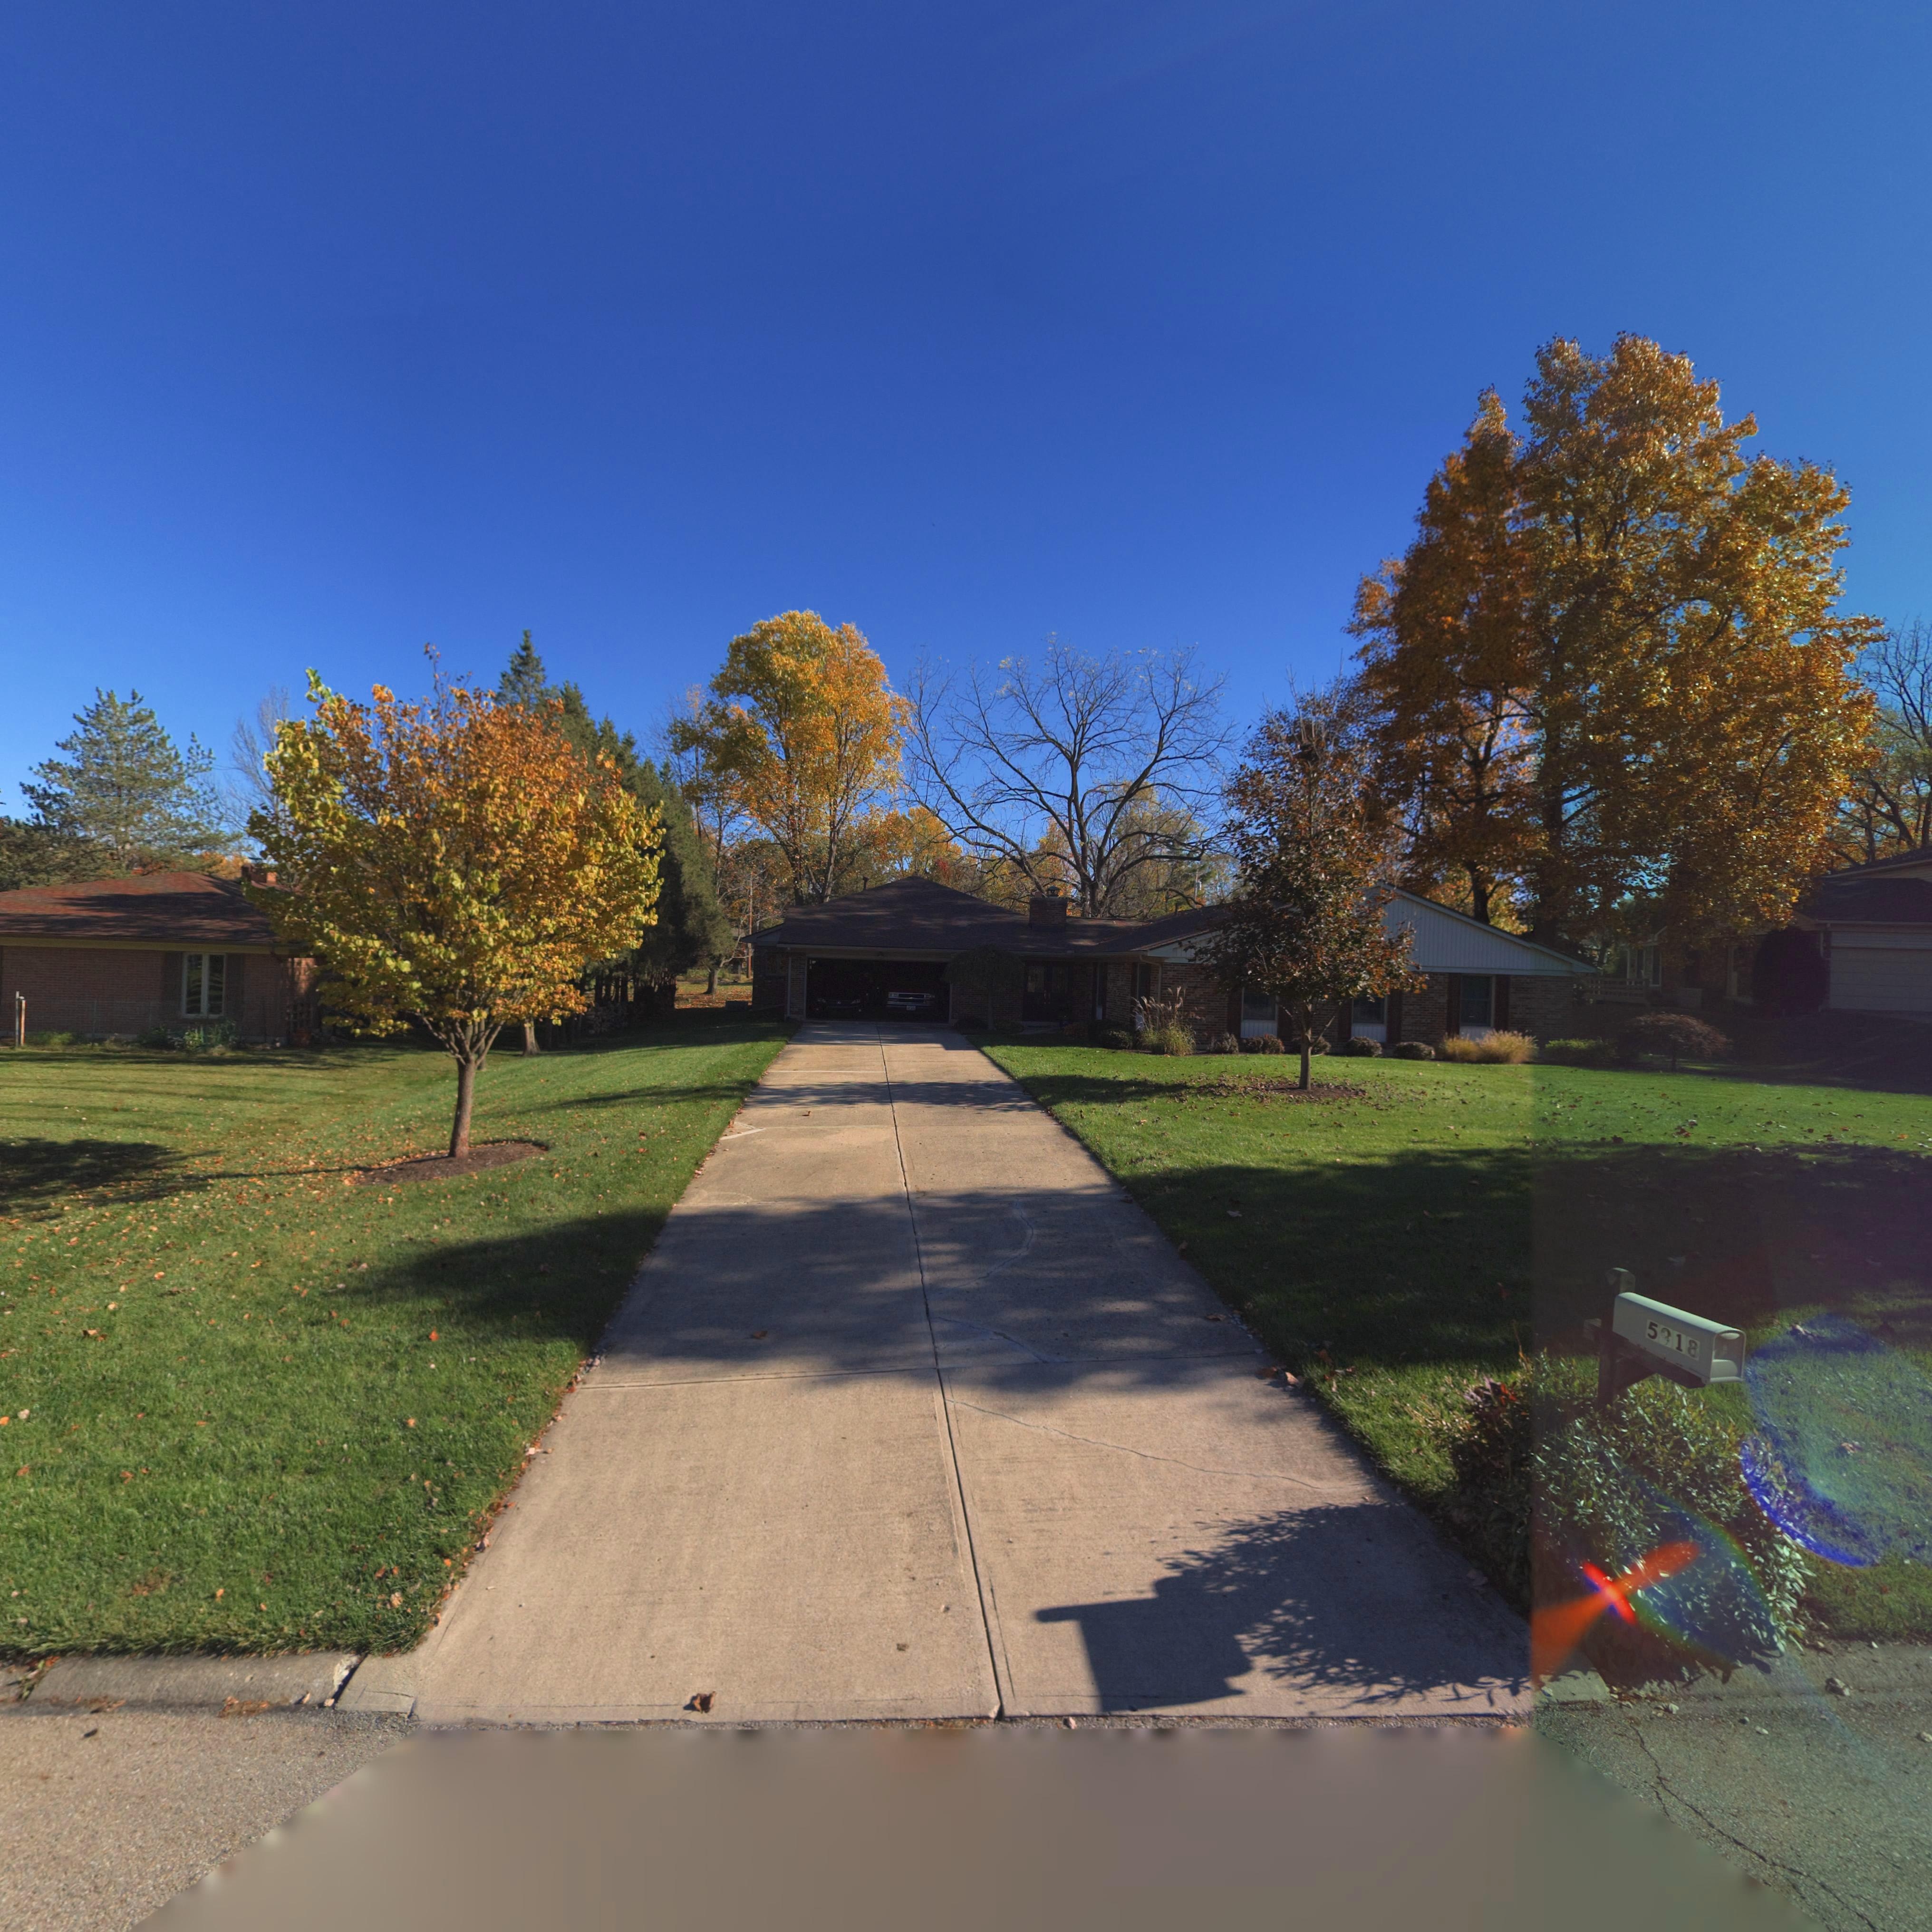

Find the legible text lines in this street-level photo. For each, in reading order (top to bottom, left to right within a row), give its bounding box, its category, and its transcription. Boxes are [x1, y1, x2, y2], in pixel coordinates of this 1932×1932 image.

[1646, 1319, 1700, 1360] StreetNumber: 5918